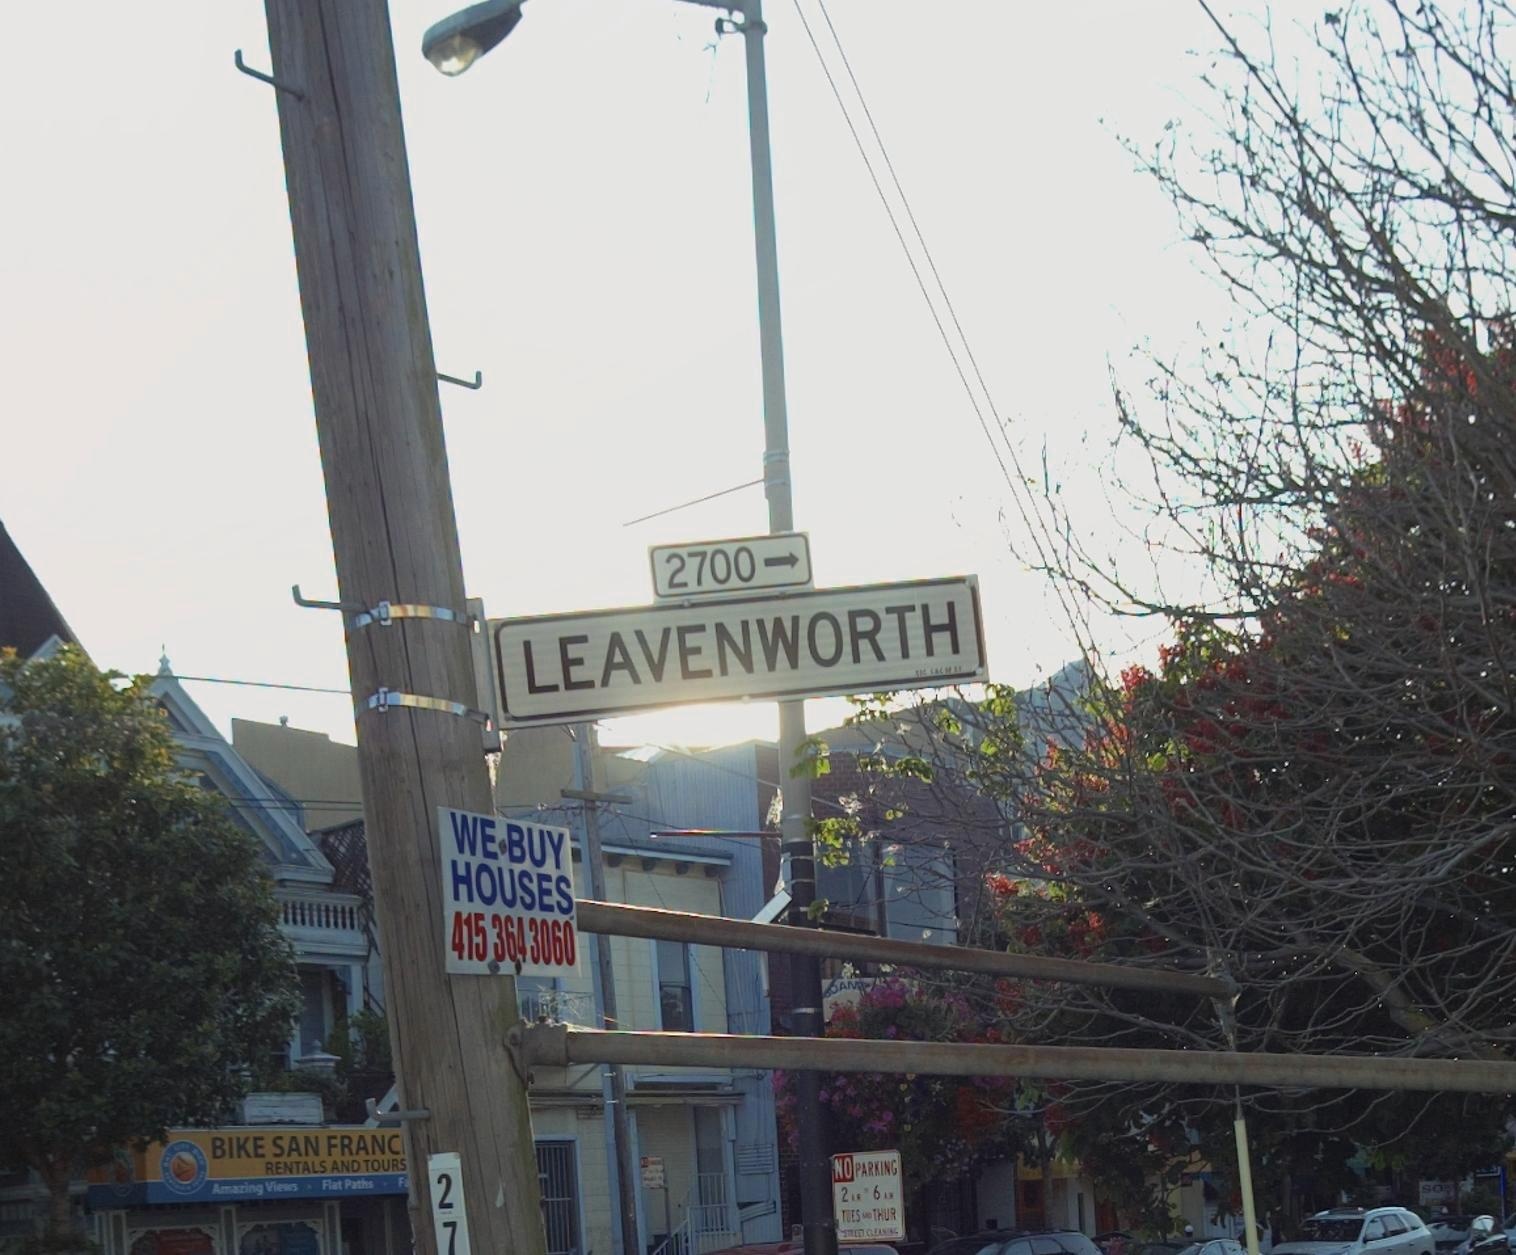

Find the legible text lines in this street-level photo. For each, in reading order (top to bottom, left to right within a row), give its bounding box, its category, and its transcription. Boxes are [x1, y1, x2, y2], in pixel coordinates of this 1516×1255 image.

[658, 540, 805, 595] StreetNumberRange: 2700->
[515, 594, 965, 703] StreetName: LEAVENWORTH
[442, 802, 569, 875] None: WE BUY
[447, 852, 578, 921] None: HOUSES
[446, 904, 581, 970] None: 415 364 3060
[207, 1130, 404, 1162] BusinessName: BIKE SAN FRANC
[262, 1155, 410, 1179] None: RENTALS AND TOURS
[831, 1152, 900, 1183] None: NO PARKING
[207, 1173, 408, 1199] None: Amazing Views * Flat Paths * Fa
[838, 1182, 853, 1206] None: 2
[870, 1180, 883, 1204] None: 6
[1419, 1182, 1446, 1195] None: SO
[431, 1167, 464, 1254] None: 27
[838, 1203, 899, 1226] None: TUES *** THUR
[839, 1223, 903, 1241] None: STREET CLEANING